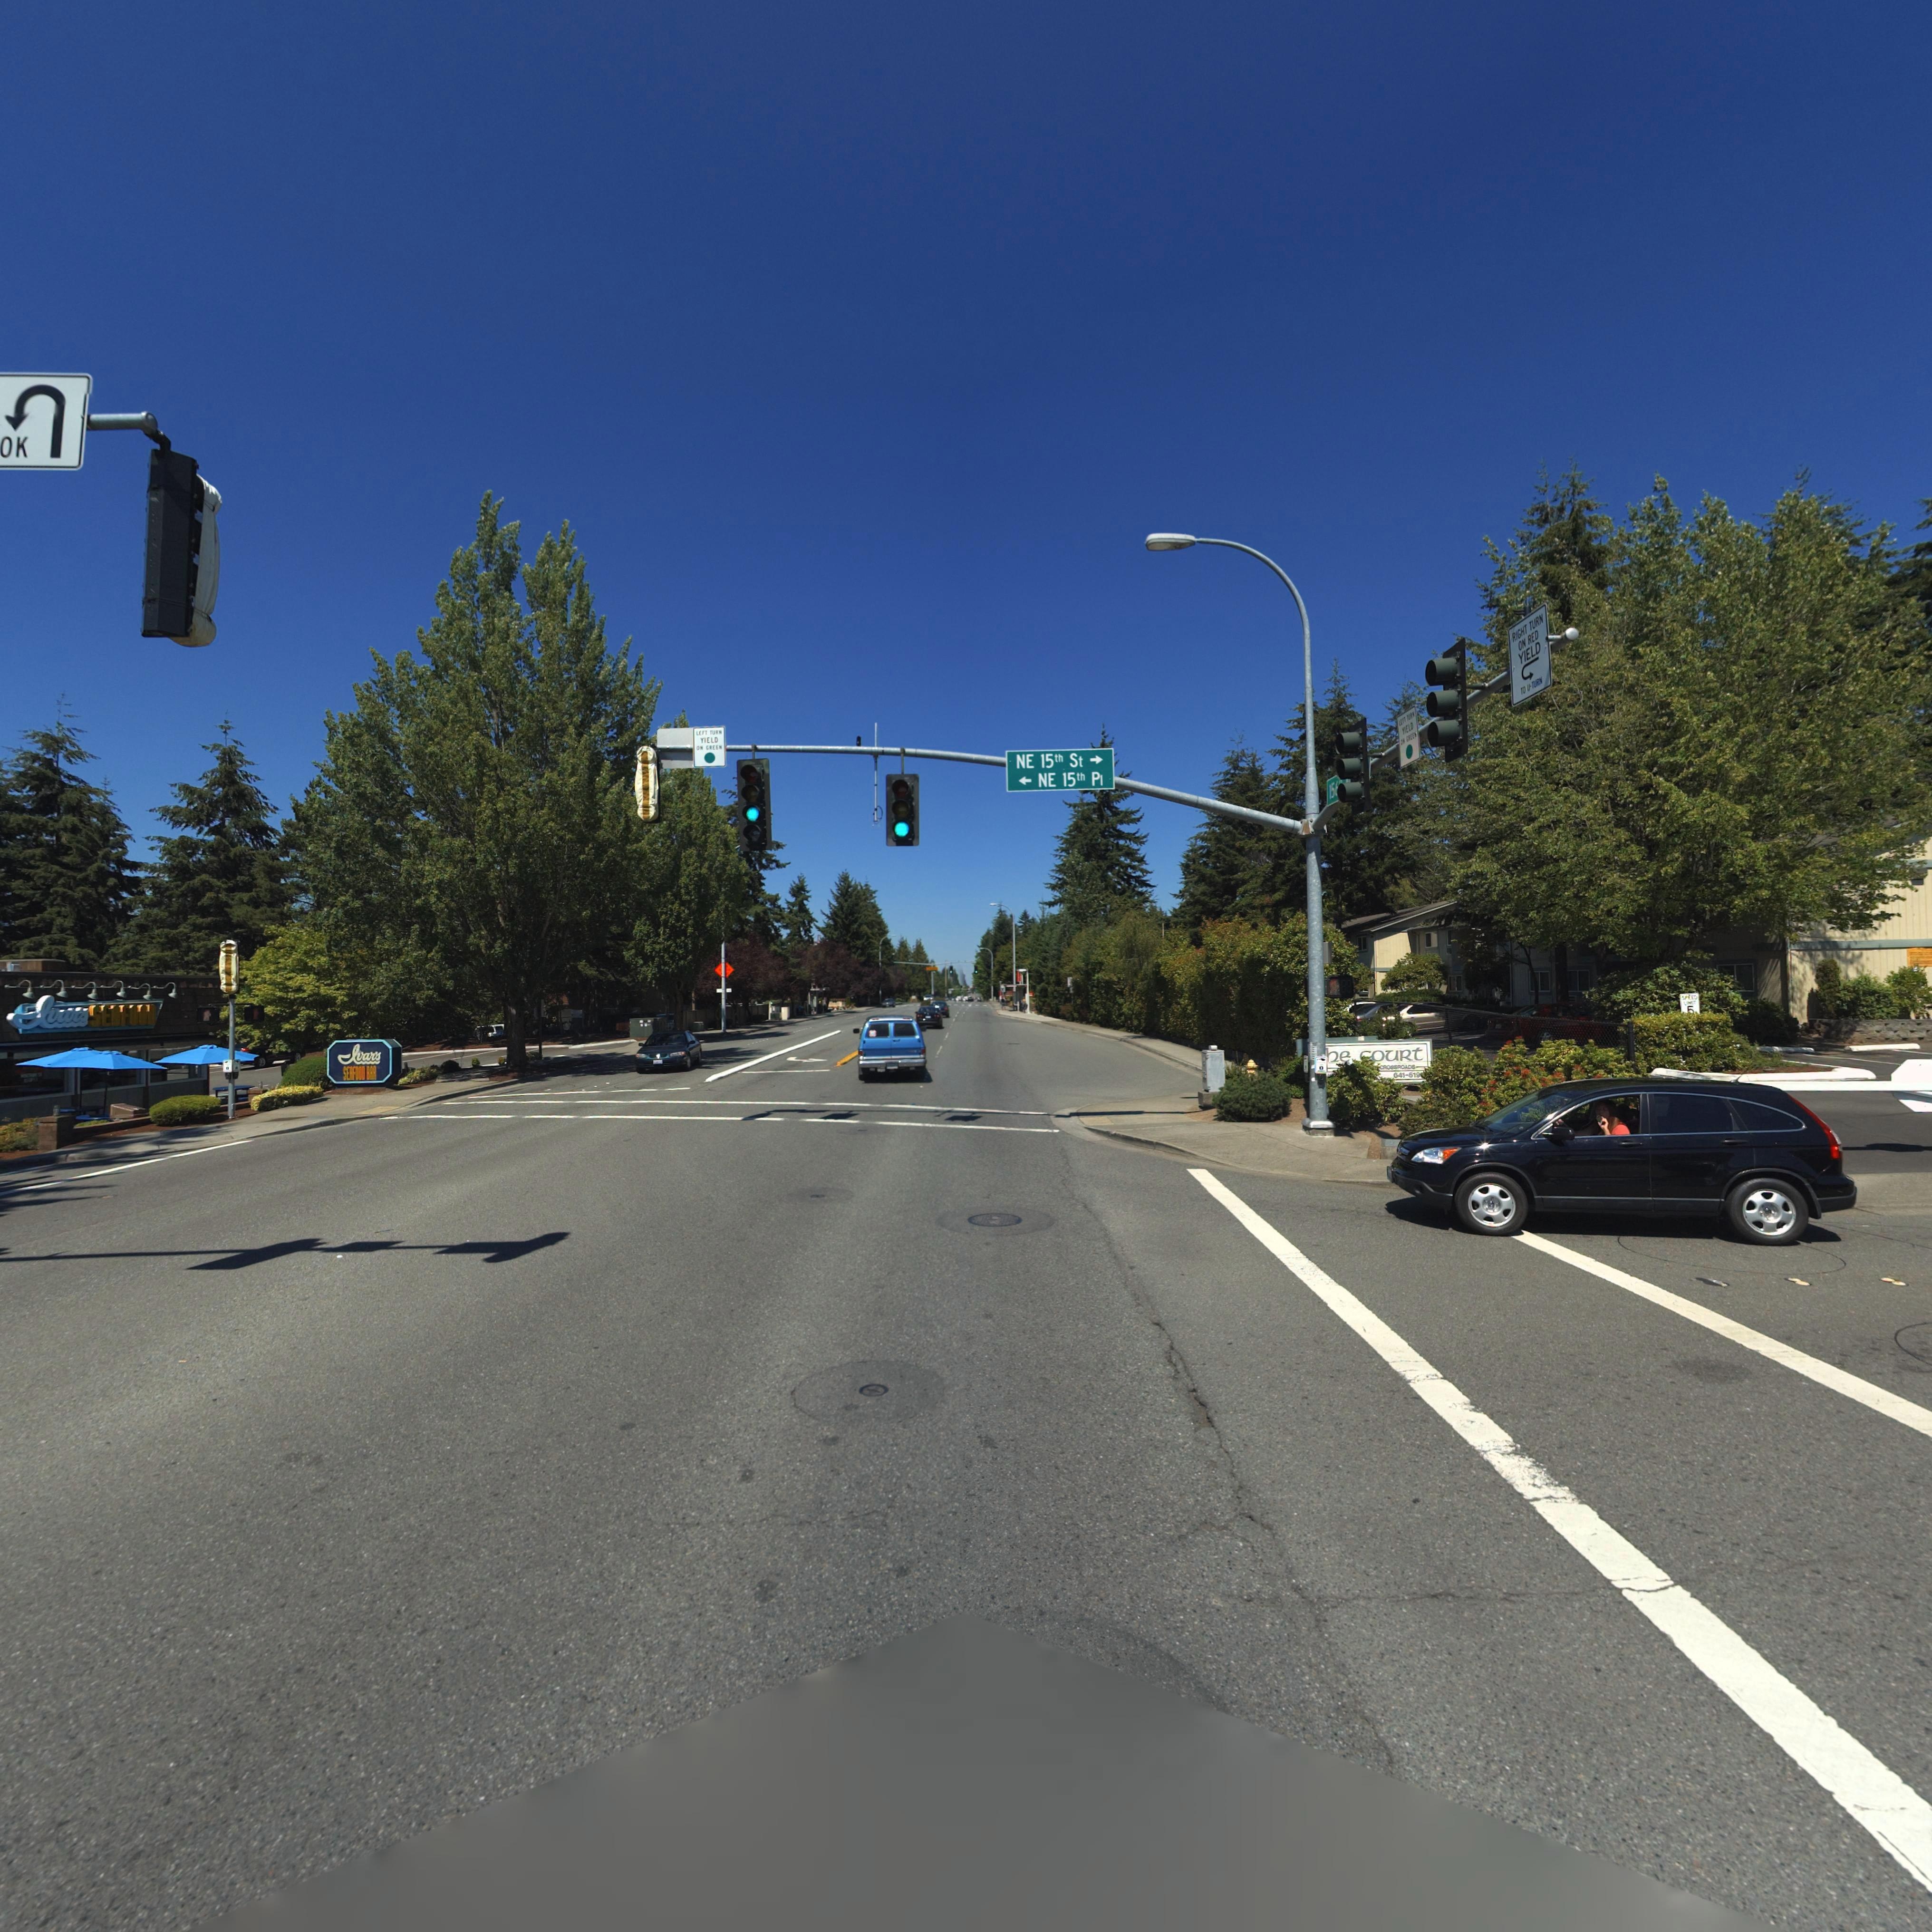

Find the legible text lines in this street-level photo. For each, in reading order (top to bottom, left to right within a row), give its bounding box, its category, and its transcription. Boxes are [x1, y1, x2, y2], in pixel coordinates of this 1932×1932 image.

[1015, 752, 1104, 769] StreetName: NE 15th St - >
[1017, 770, 1105, 788] StreetName: < - NE 15th Pl 
[6, 995, 156, 1029] BusinessName: Ivar*s SEAFOOD
[336, 1043, 381, 1064] BusinessName: Ivar*s
[341, 1065, 378, 1081] BusinessName: SEAFOOD